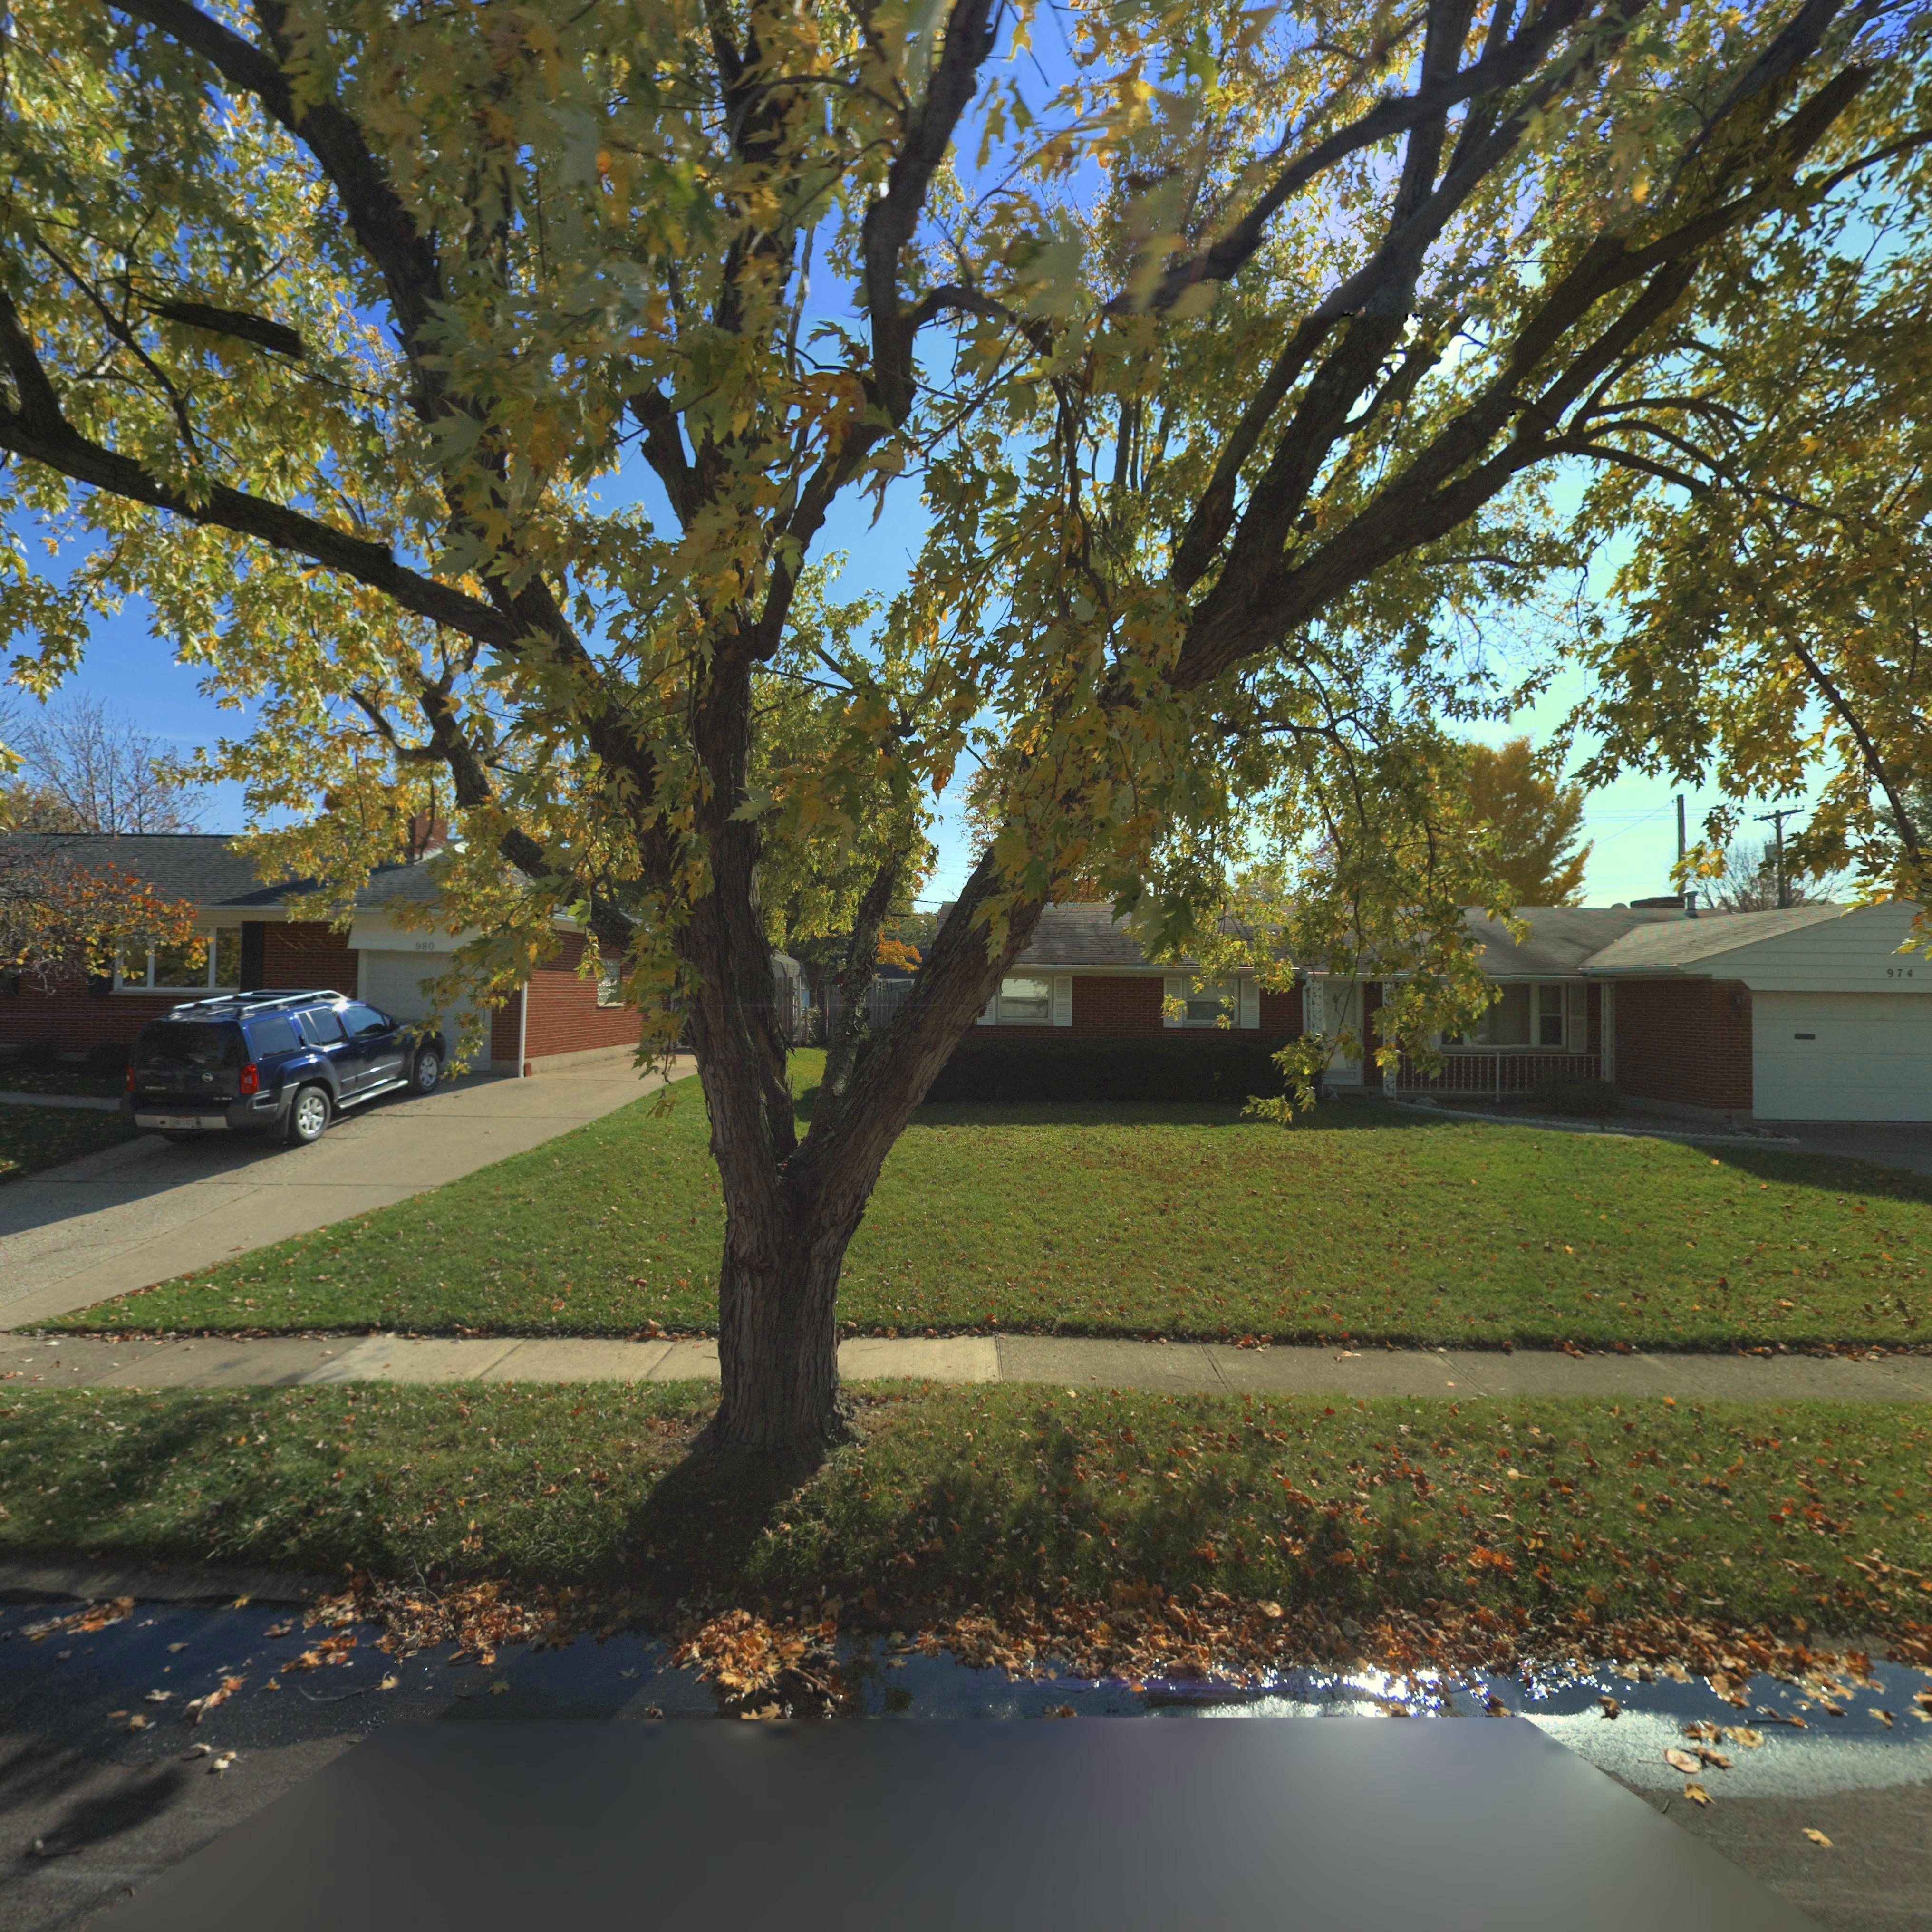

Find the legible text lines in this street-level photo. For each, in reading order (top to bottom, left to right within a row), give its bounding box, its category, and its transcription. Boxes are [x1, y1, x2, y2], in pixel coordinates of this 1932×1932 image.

[414, 941, 435, 951] StreetNumber: 980
[1885, 967, 1914, 979] StreetNumber: 974